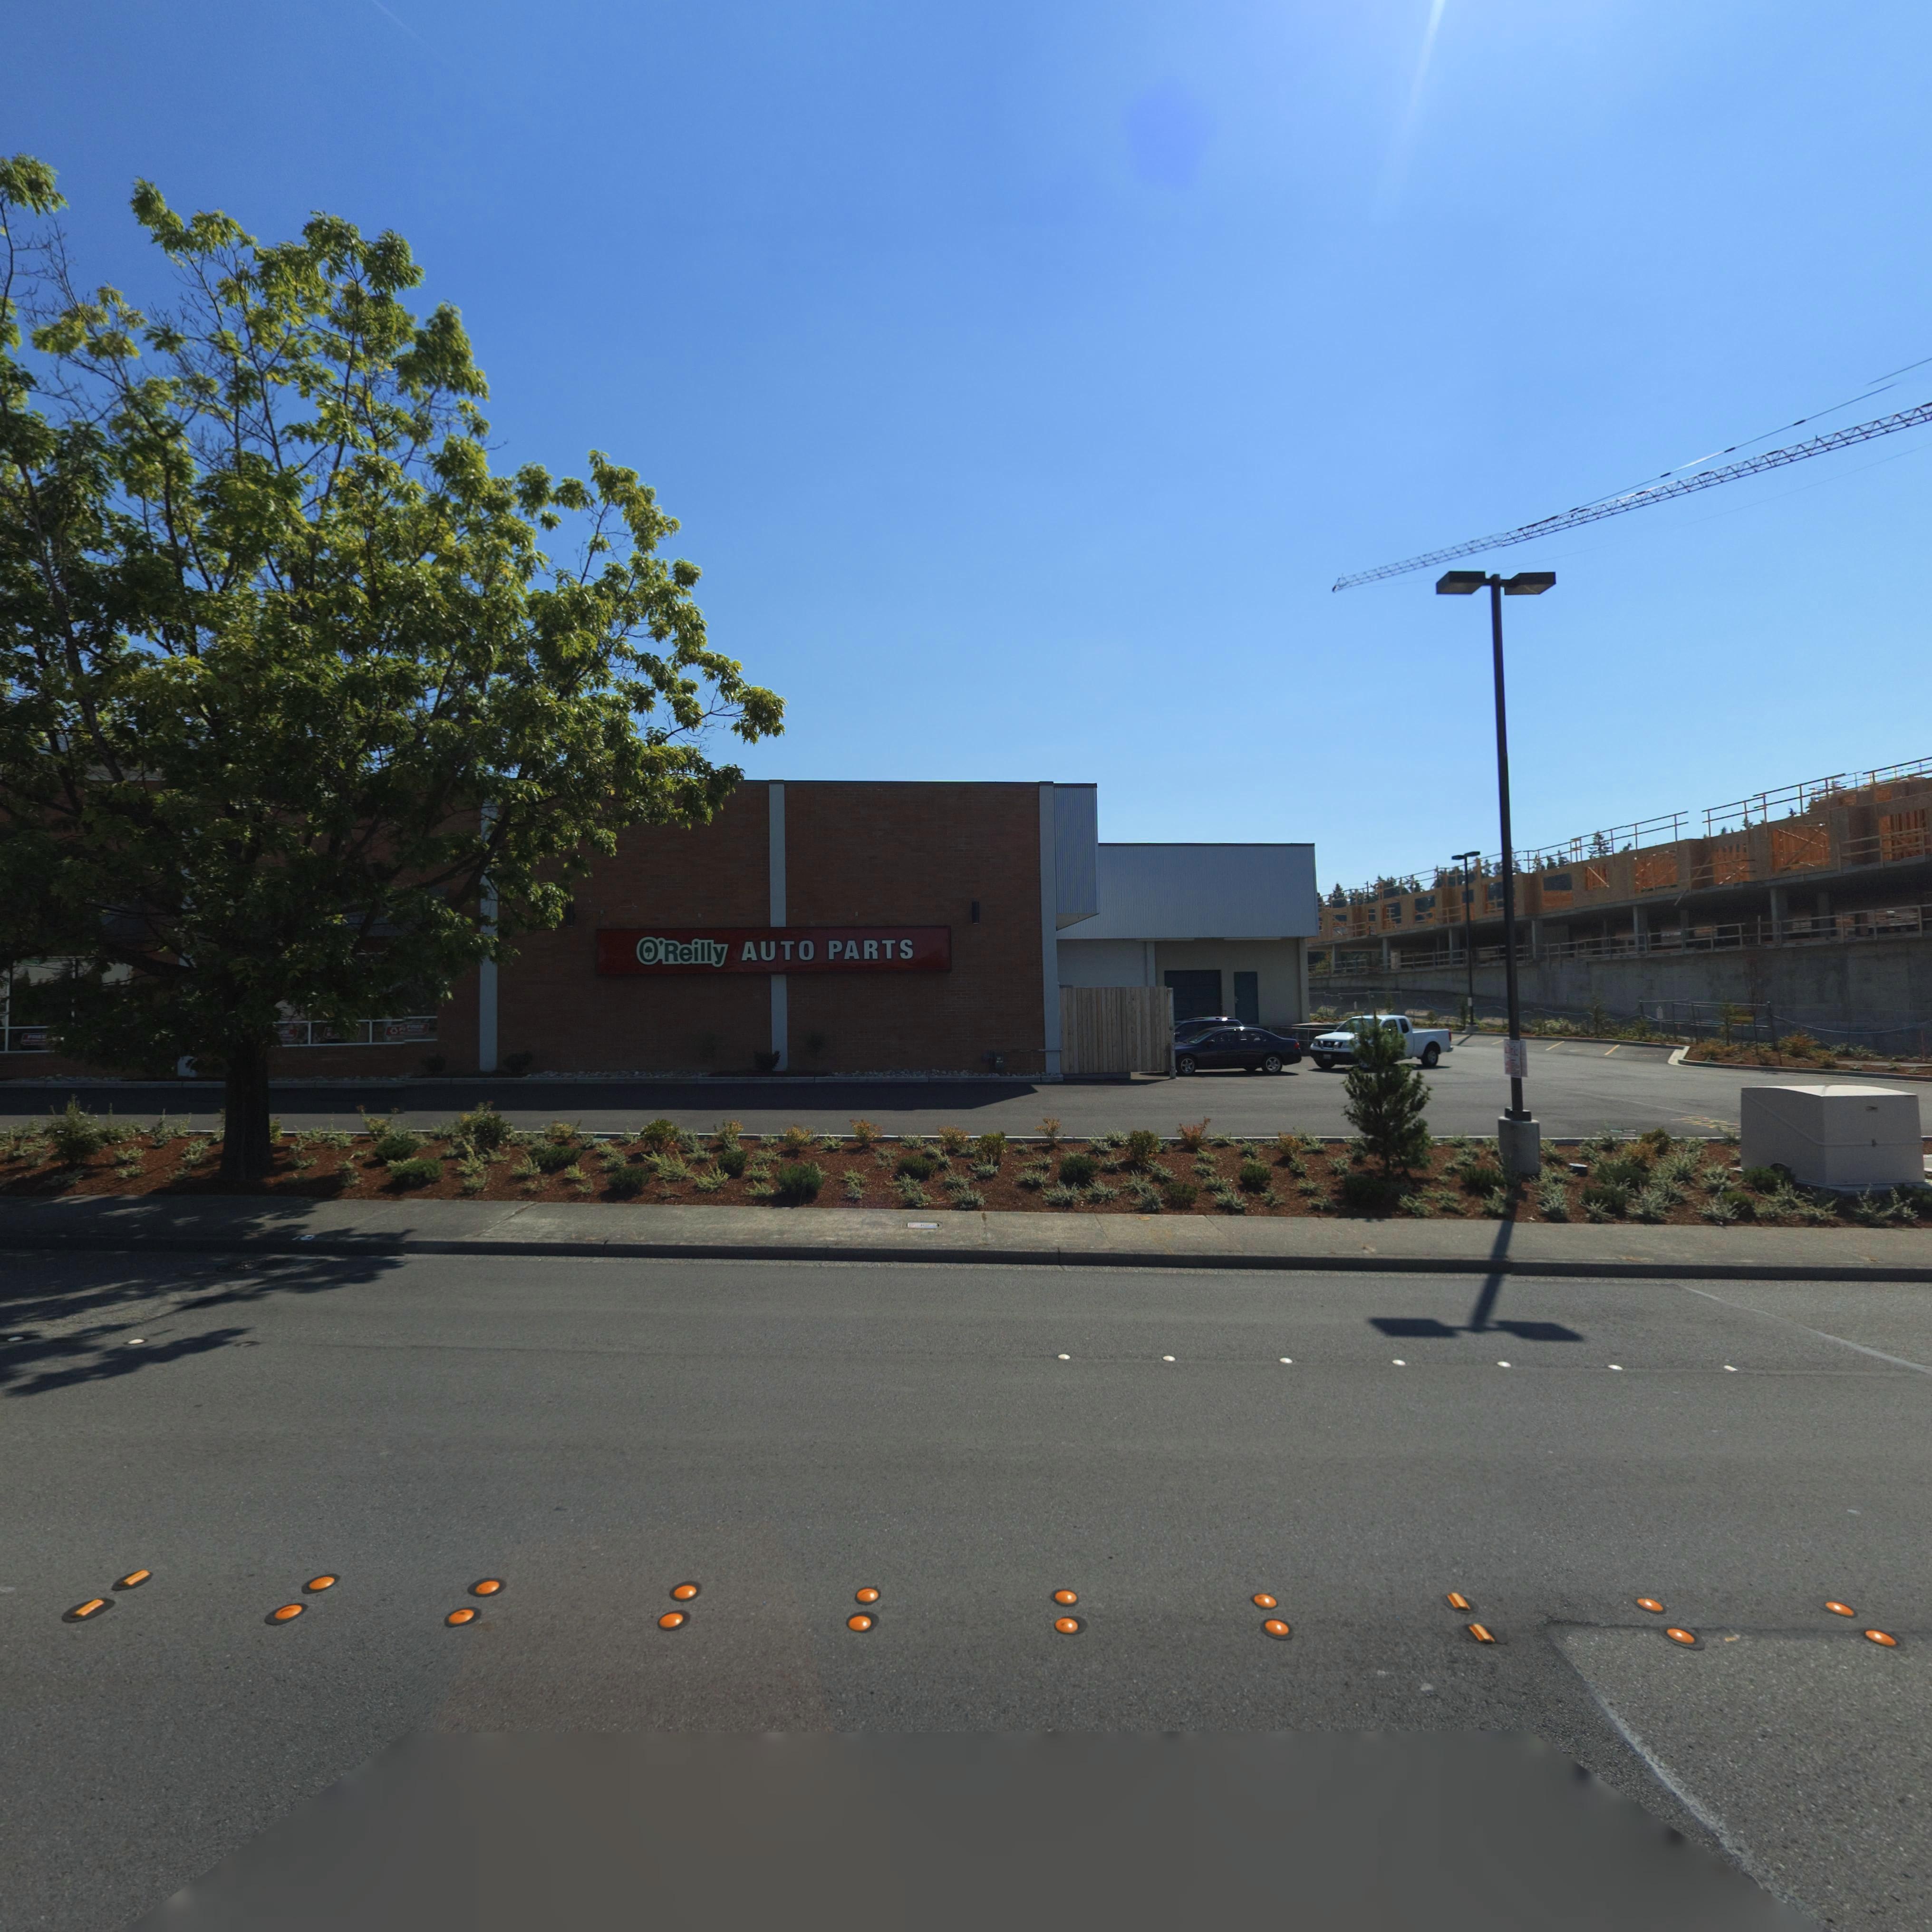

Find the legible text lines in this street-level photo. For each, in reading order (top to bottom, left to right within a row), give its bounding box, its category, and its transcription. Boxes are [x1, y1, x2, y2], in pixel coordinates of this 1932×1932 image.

[741, 939, 912, 960] BusinessName: AUTO PARTS